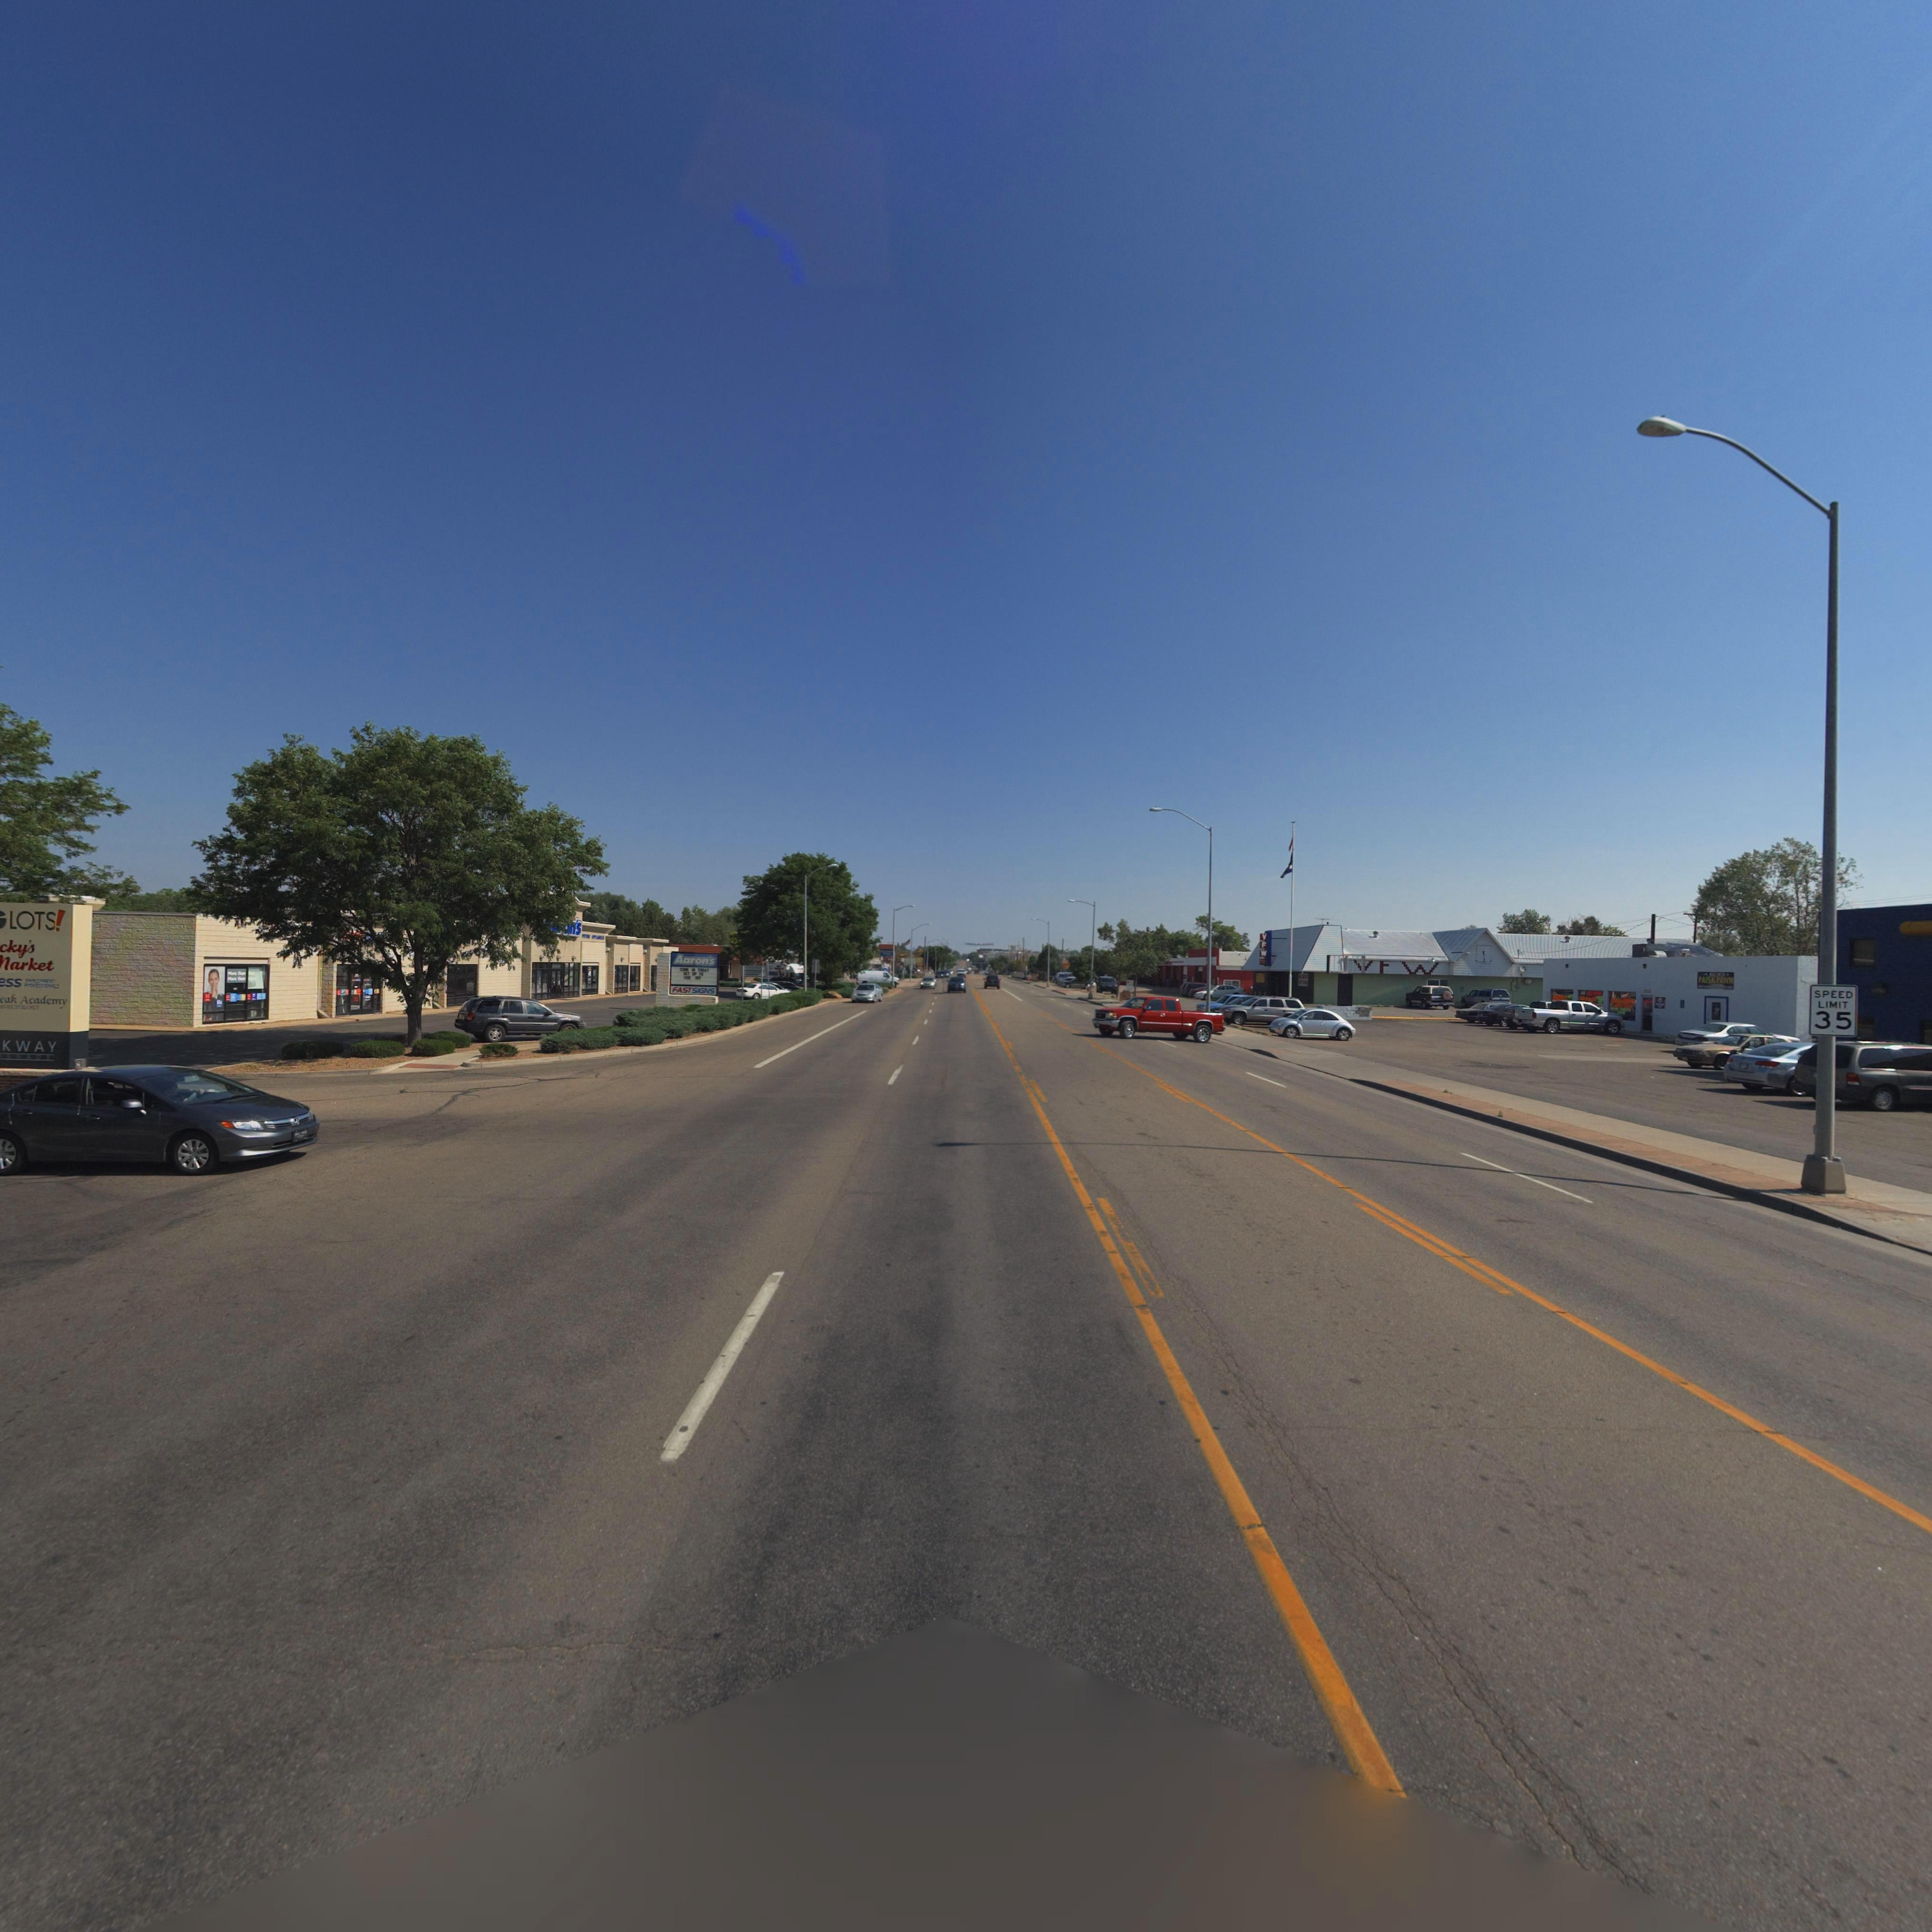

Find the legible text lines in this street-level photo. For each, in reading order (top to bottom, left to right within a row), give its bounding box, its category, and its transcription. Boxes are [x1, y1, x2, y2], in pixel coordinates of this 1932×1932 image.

[9, 908, 66, 931] BusinessName: LOTS!
[575, 918, 582, 936] BusinessName: 's
[7, 939, 35, 958] BusinessName: ky's
[1260, 933, 1267, 956] BusinessName: VFW
[9, 957, 55, 971] BusinessName: arket
[674, 954, 715, 965] BusinessName: Aaron's
[1379, 960, 1440, 975] BusinessName: FW
[5, 978, 22, 987] BusinessName: ss
[672, 986, 715, 994] BusinessName: FAST SIGNS
[1643, 988, 1651, 994] StreetNumber: 208
[4, 994, 68, 1009] BusinessName: ak Academy